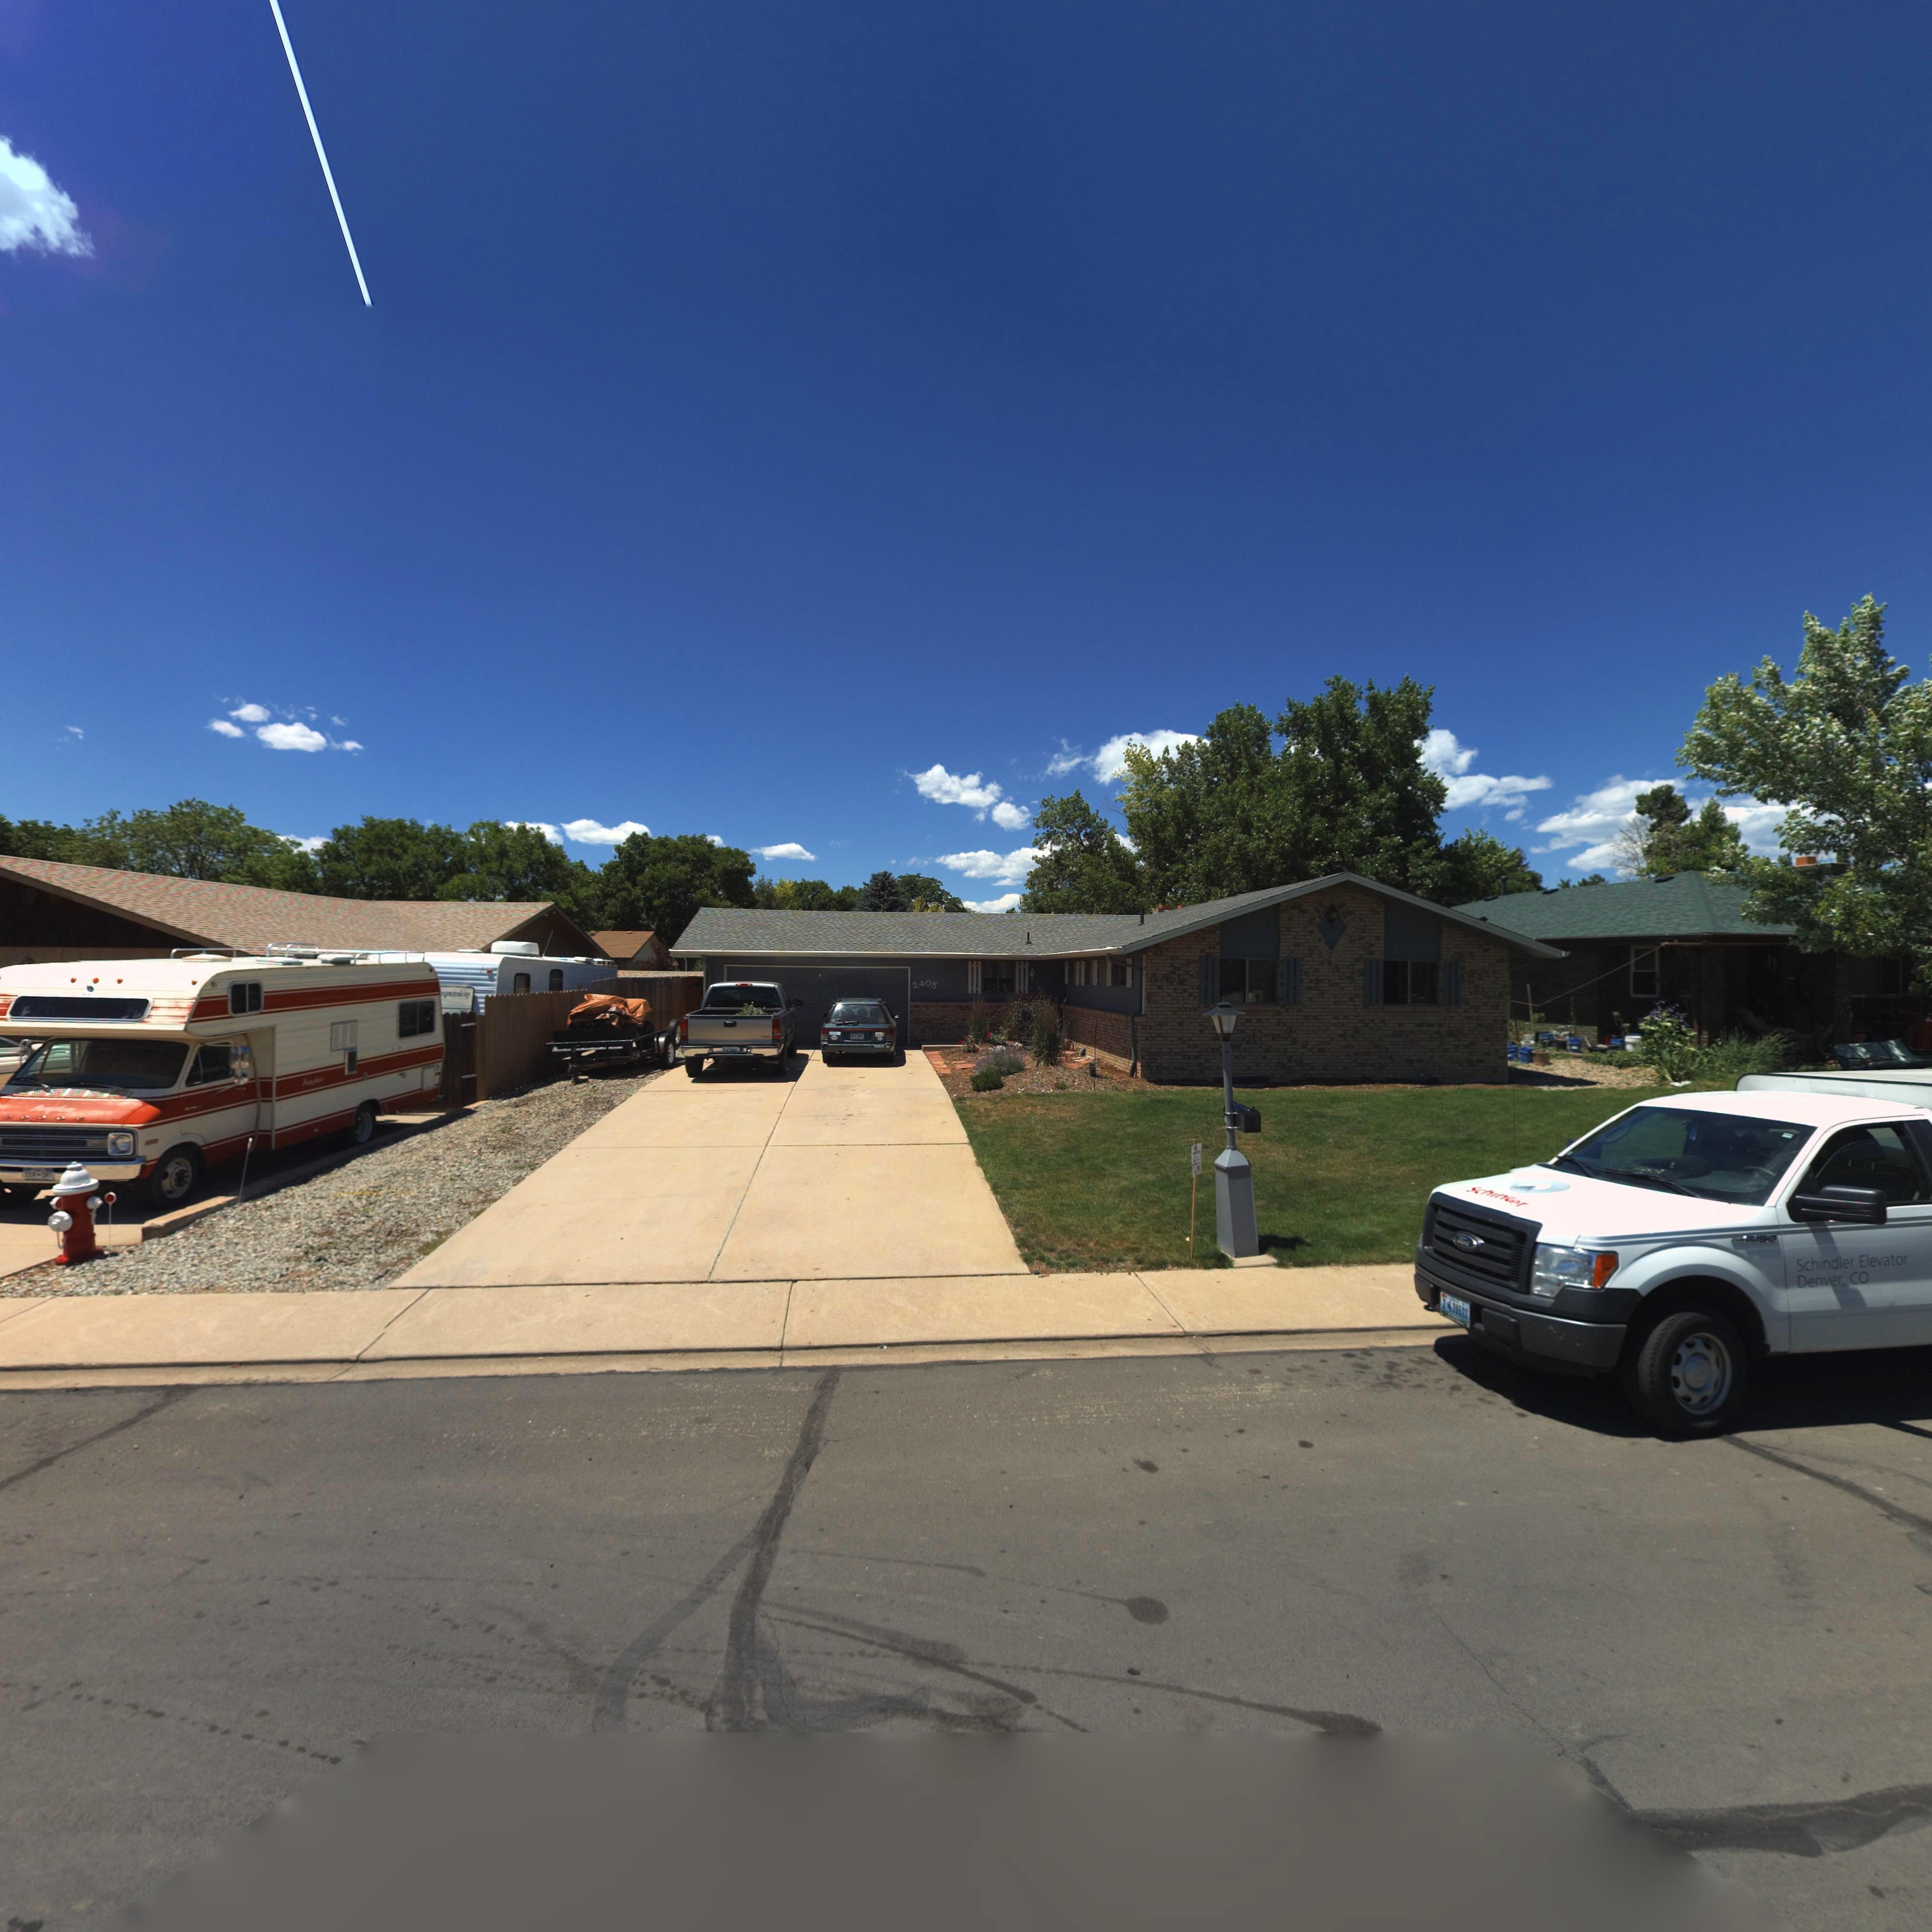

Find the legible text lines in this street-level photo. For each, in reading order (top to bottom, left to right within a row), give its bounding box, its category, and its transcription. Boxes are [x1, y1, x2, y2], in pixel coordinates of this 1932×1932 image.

[912, 980, 938, 989] StreetNumber: 2405